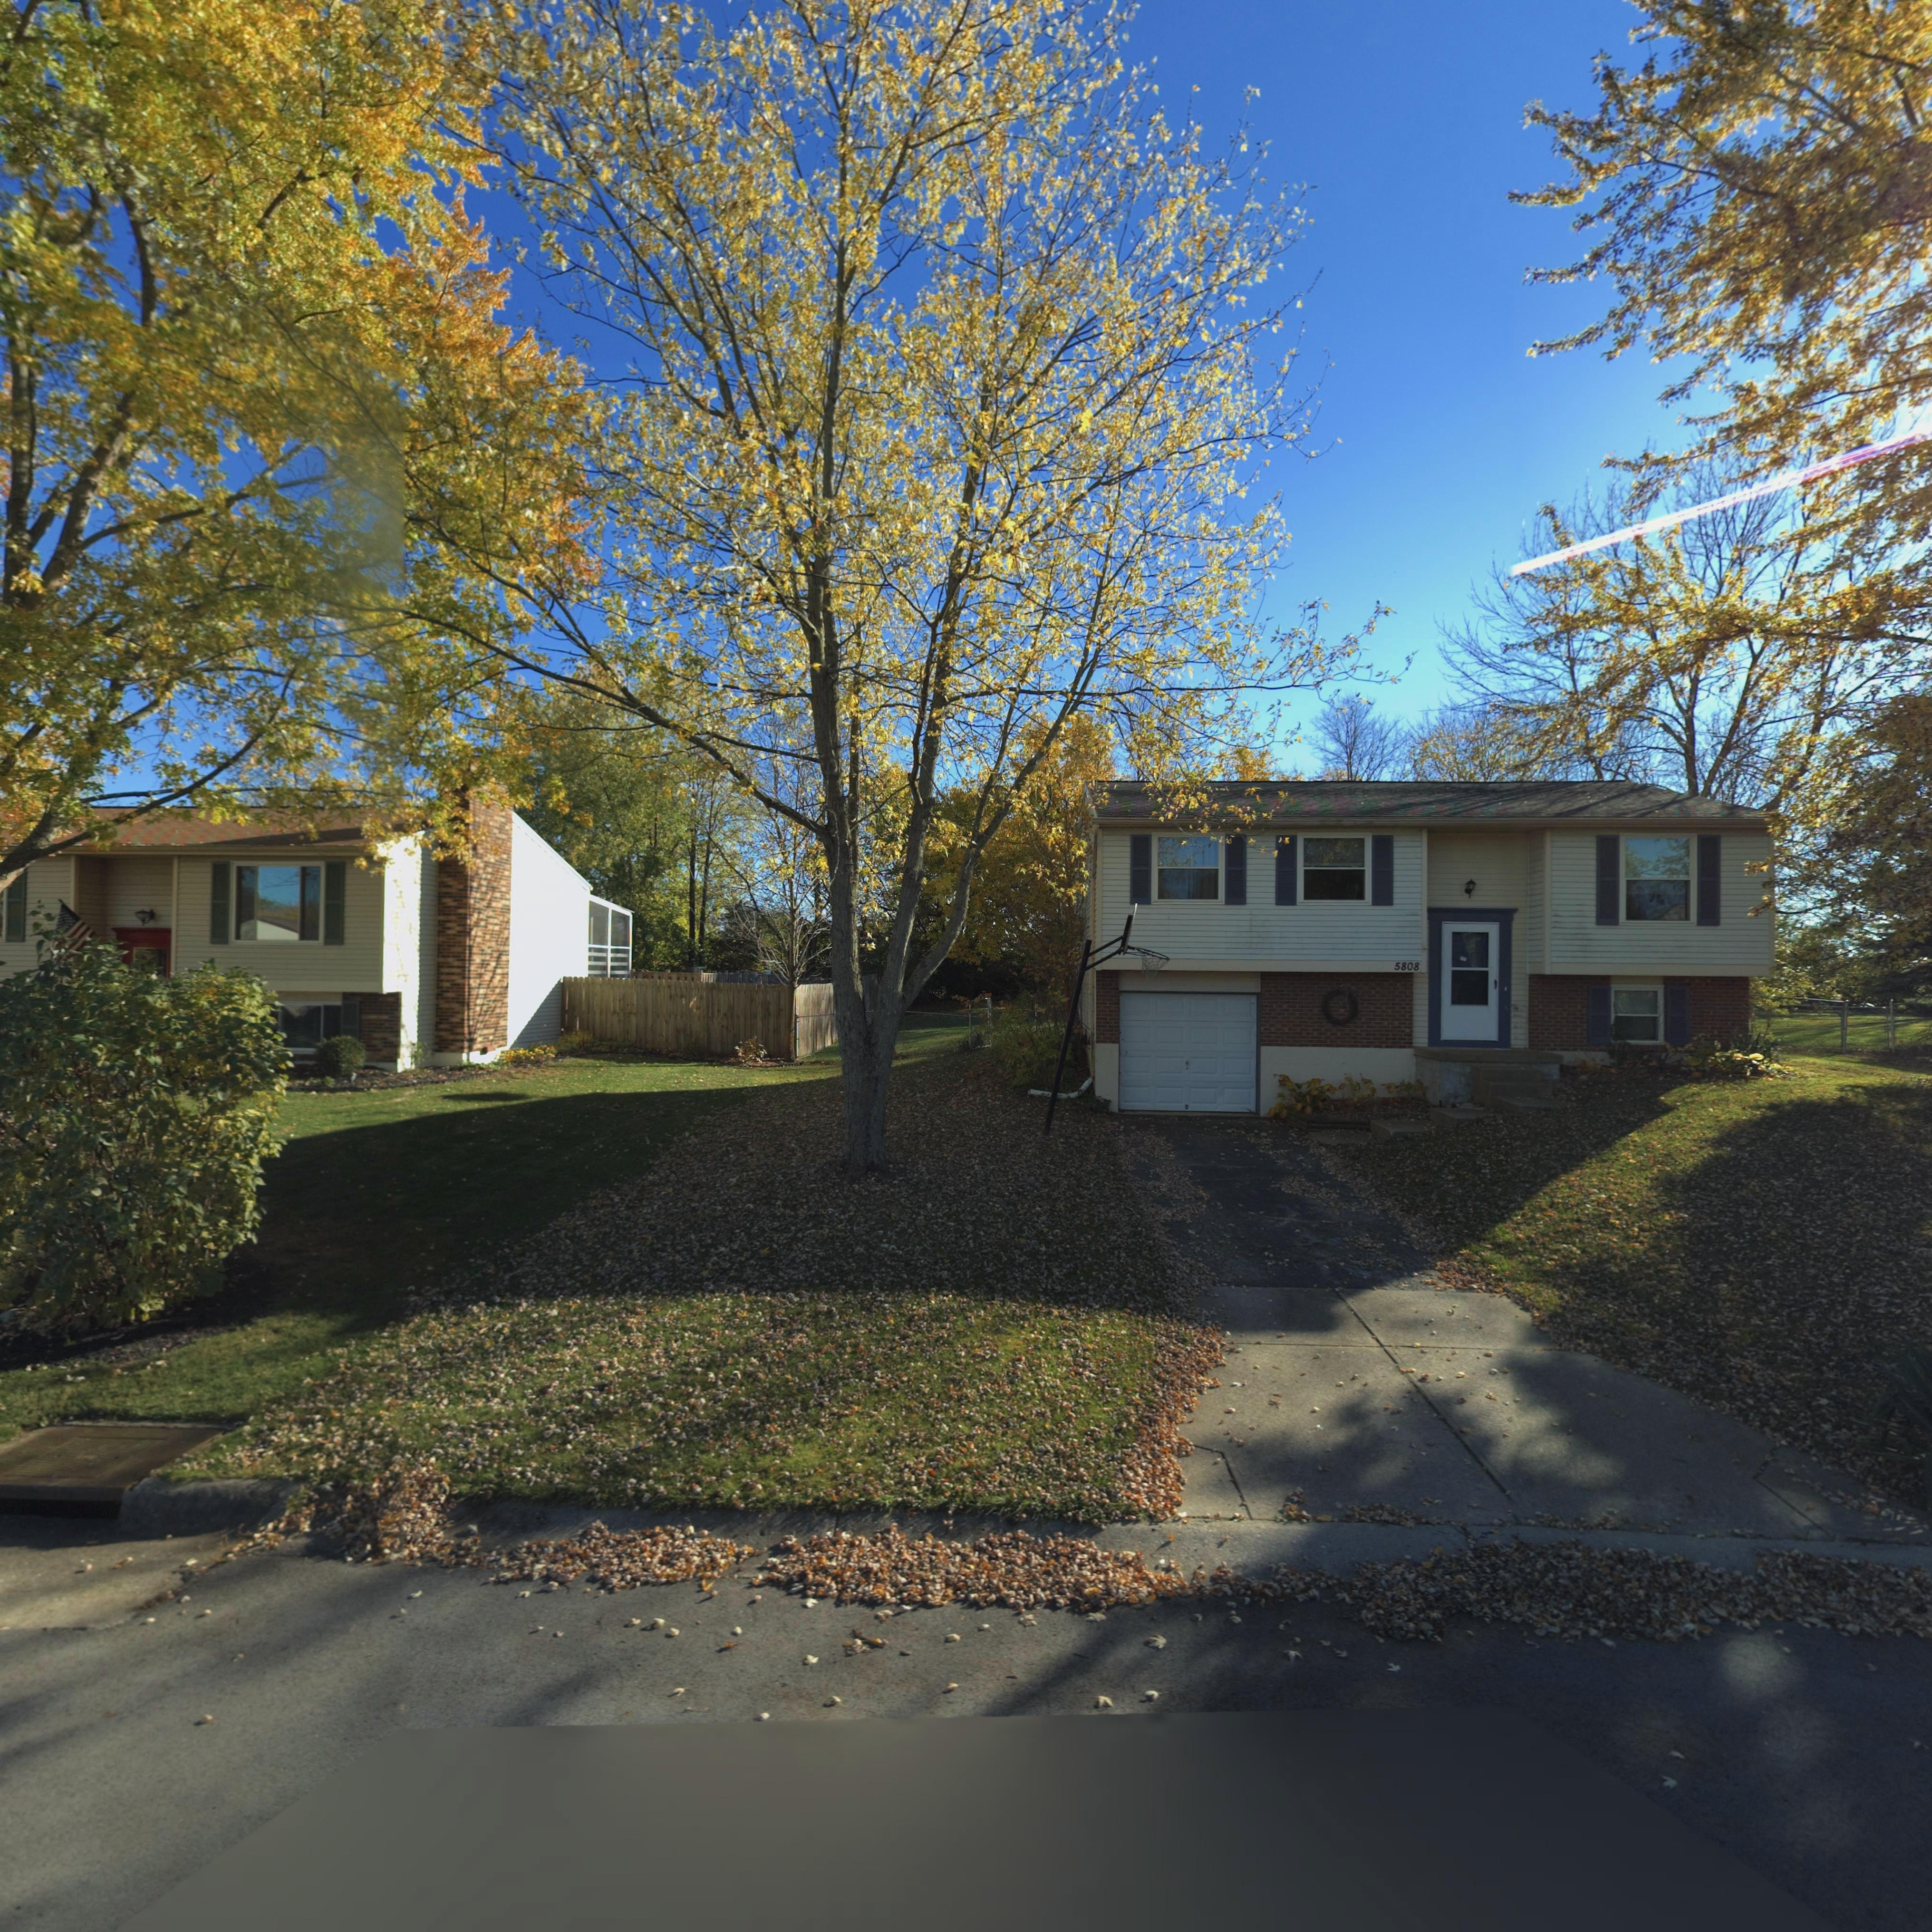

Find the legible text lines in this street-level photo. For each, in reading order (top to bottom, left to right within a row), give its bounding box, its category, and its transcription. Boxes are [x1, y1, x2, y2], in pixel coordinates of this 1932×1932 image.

[1392, 961, 1421, 972] StreetNumber: 5808